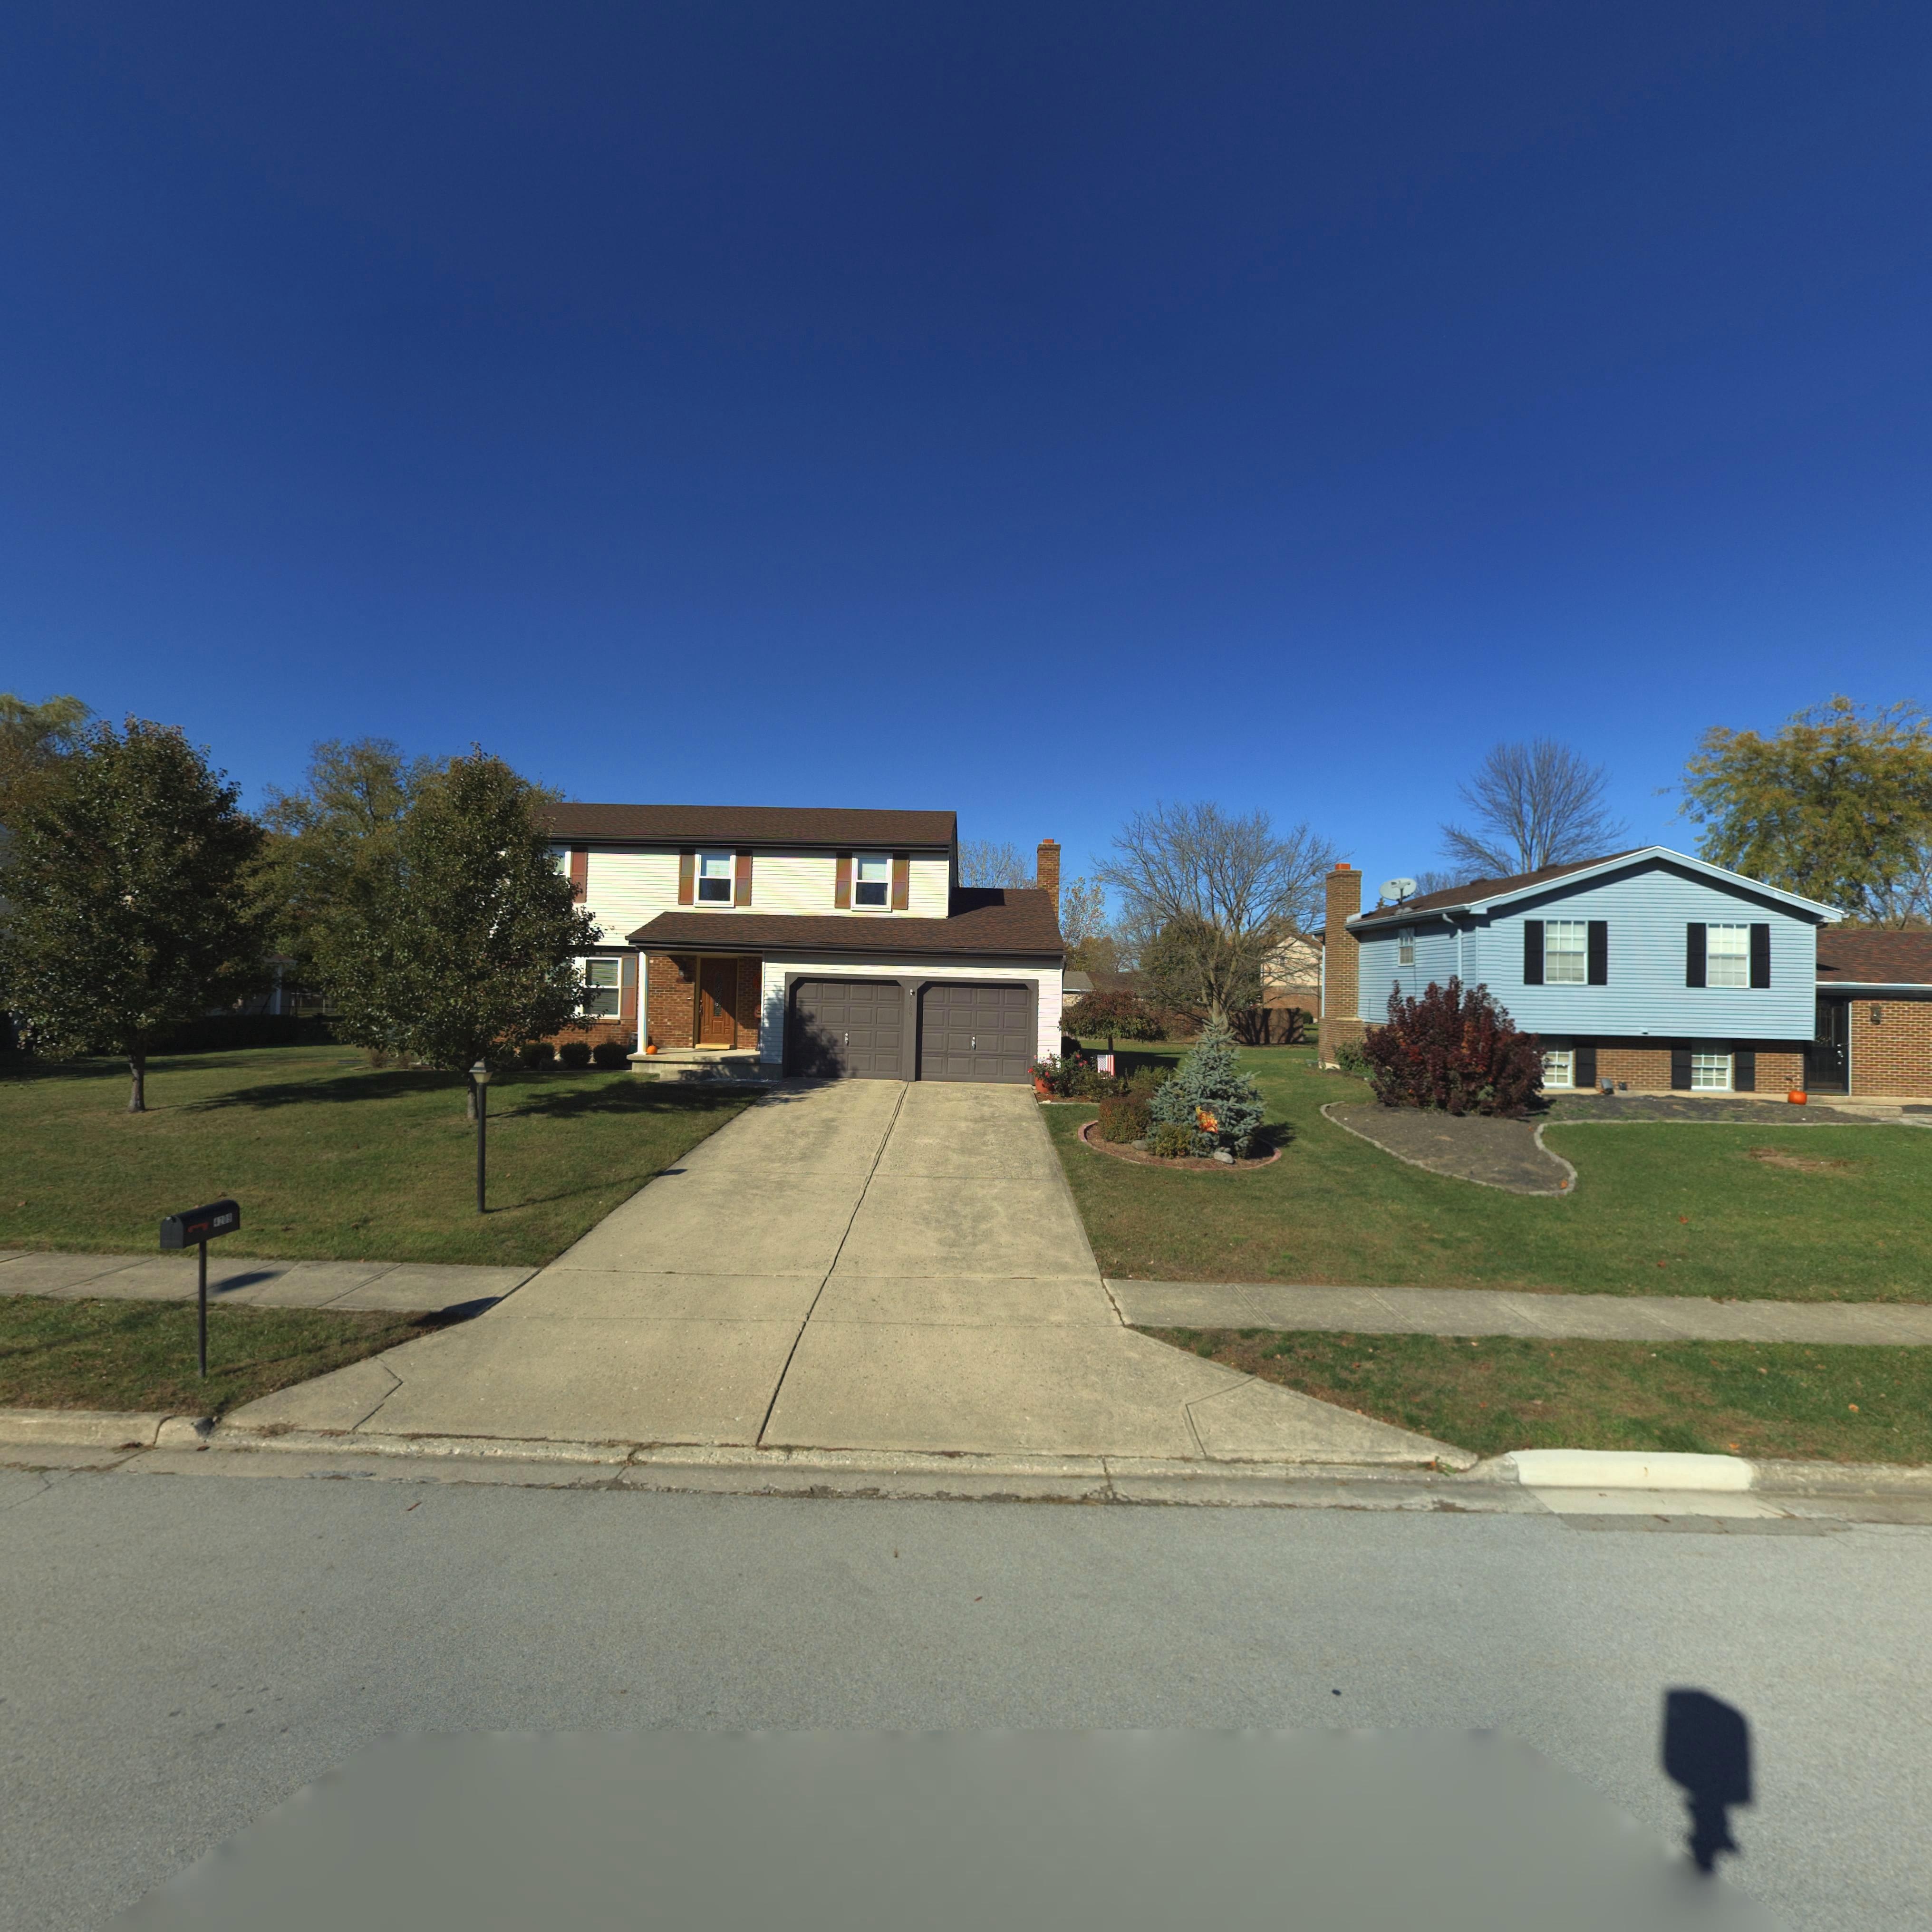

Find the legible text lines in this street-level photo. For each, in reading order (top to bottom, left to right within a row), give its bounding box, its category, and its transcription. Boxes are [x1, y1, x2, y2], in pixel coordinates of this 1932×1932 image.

[908, 994, 914, 1019] StreetNumber: 4209
[213, 1211, 233, 1227] StreetNumber: 4209